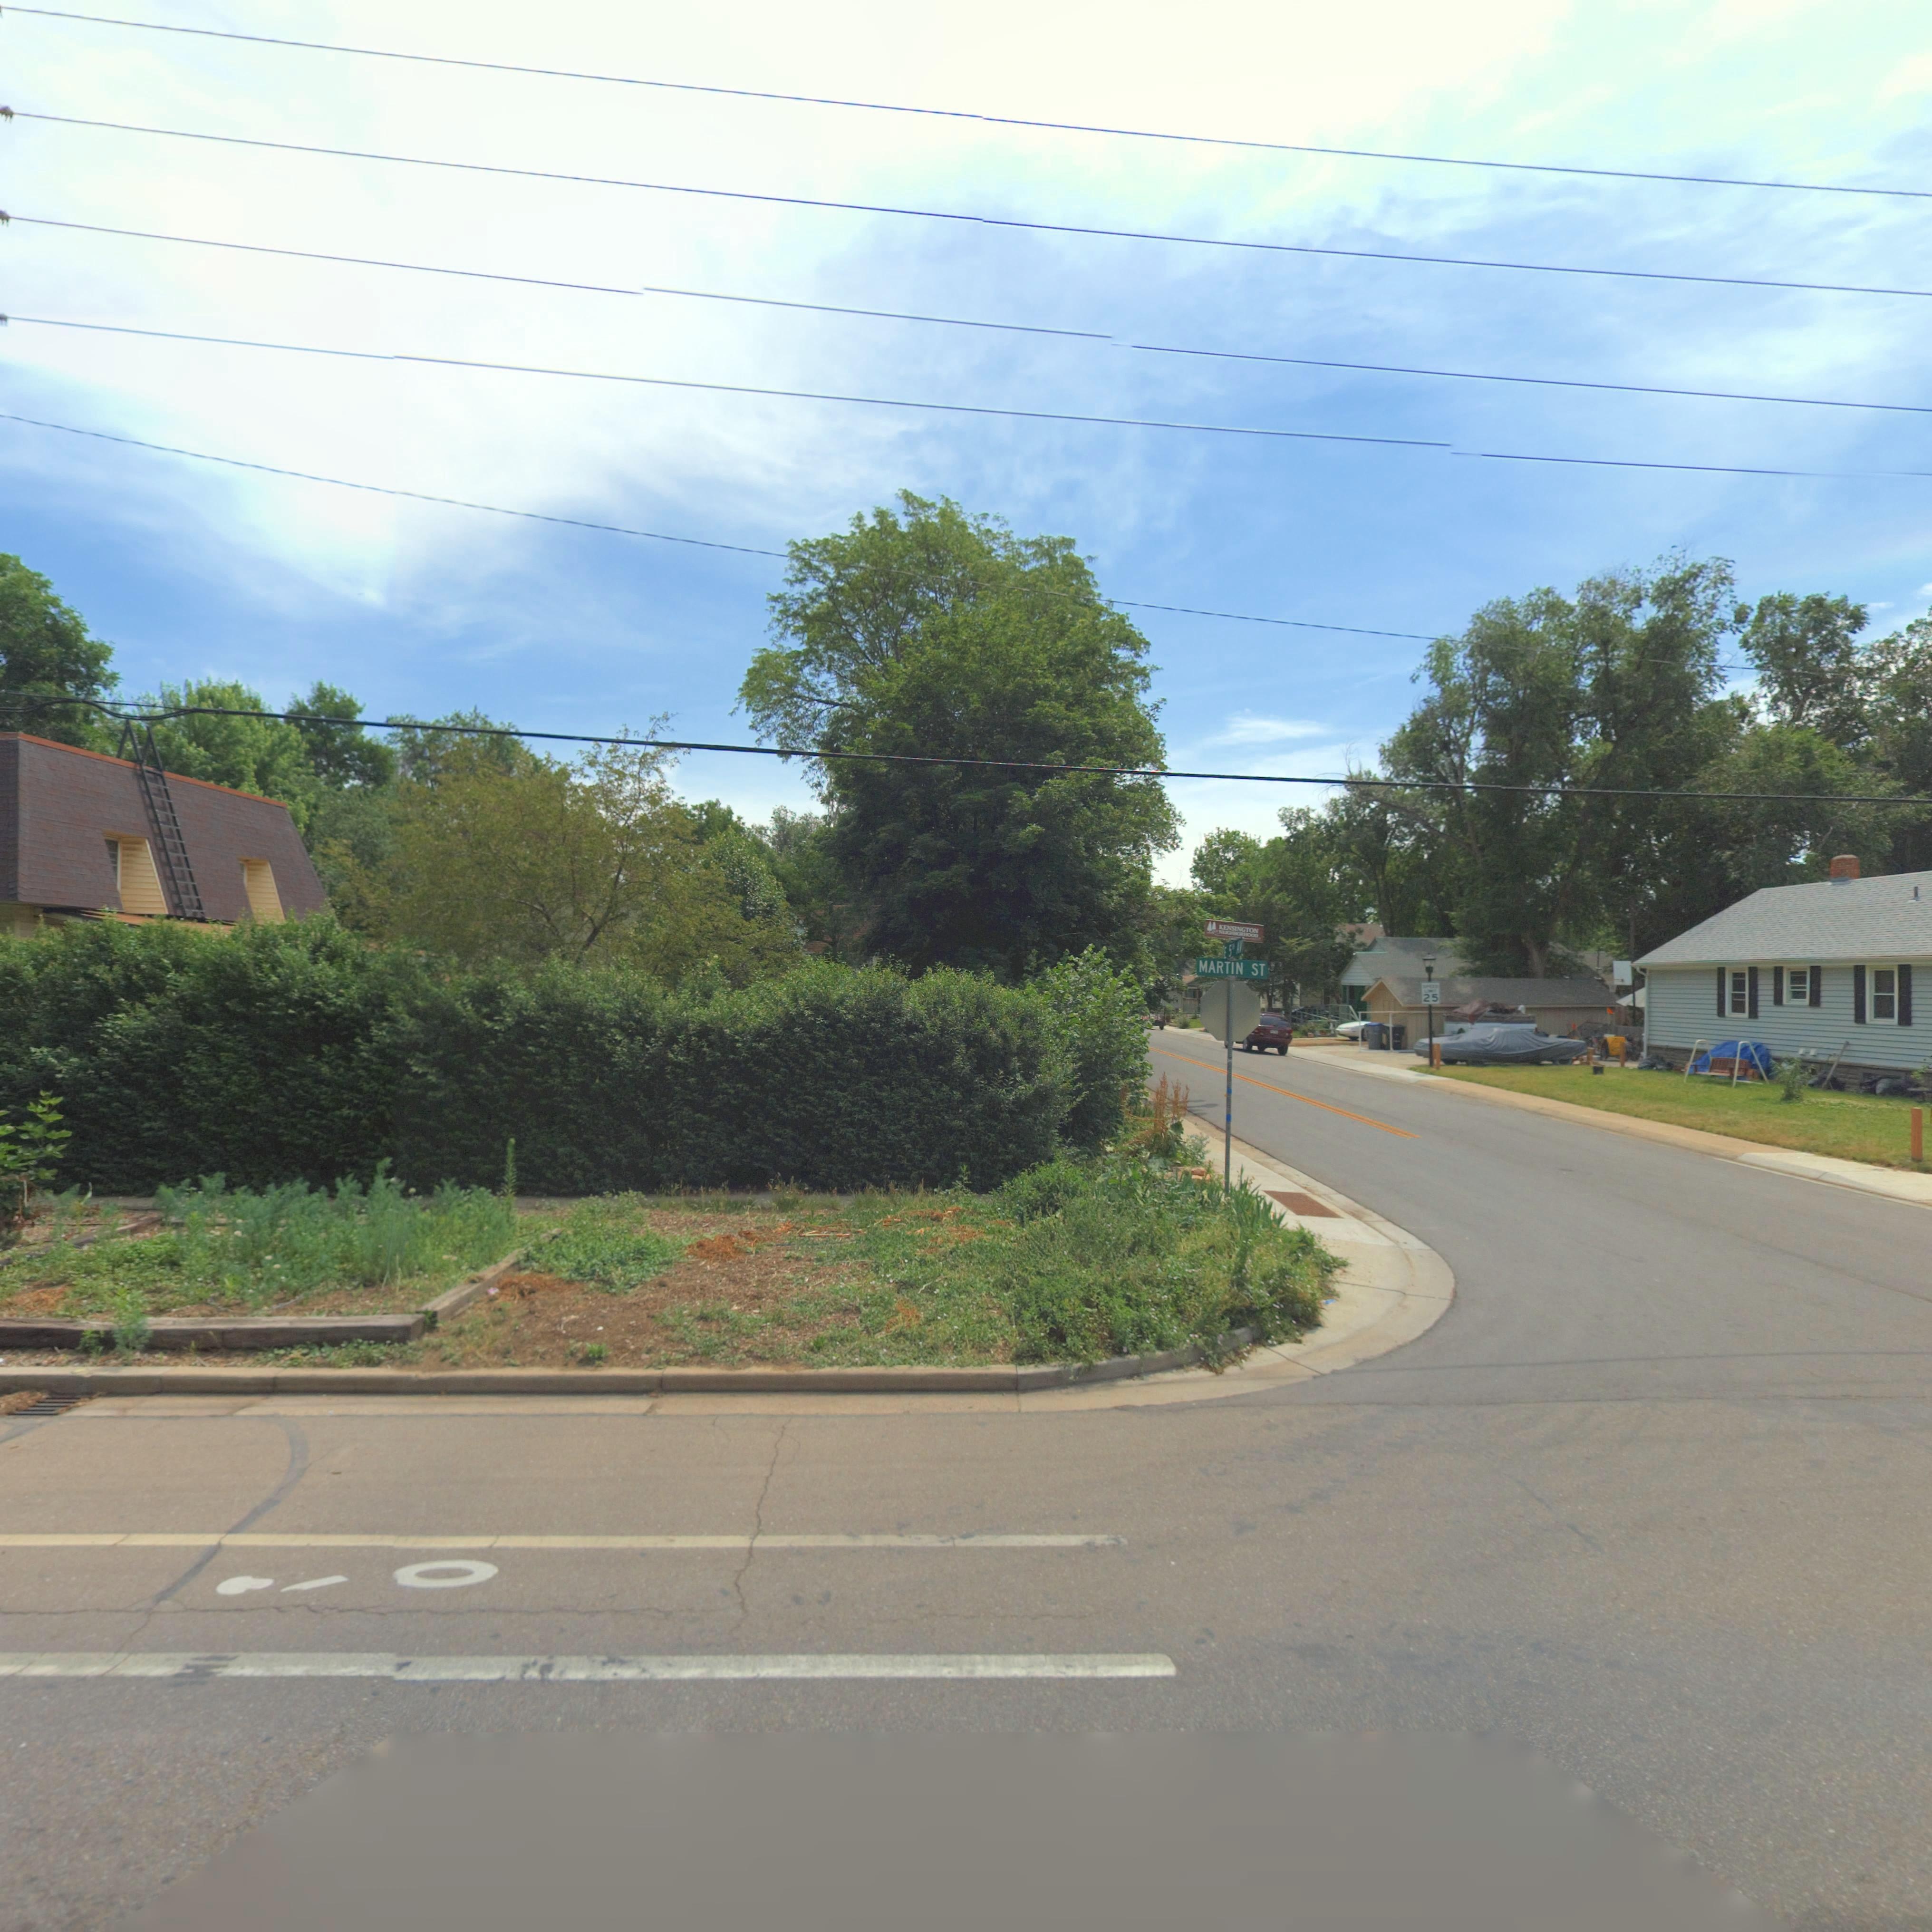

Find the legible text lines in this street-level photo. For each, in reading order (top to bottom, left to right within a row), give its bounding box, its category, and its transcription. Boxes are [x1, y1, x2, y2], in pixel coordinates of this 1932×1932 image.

[1224, 939, 1243, 959] StreetName: E 5** AV
[1199, 959, 1265, 976] StreetName: MARTIN ST